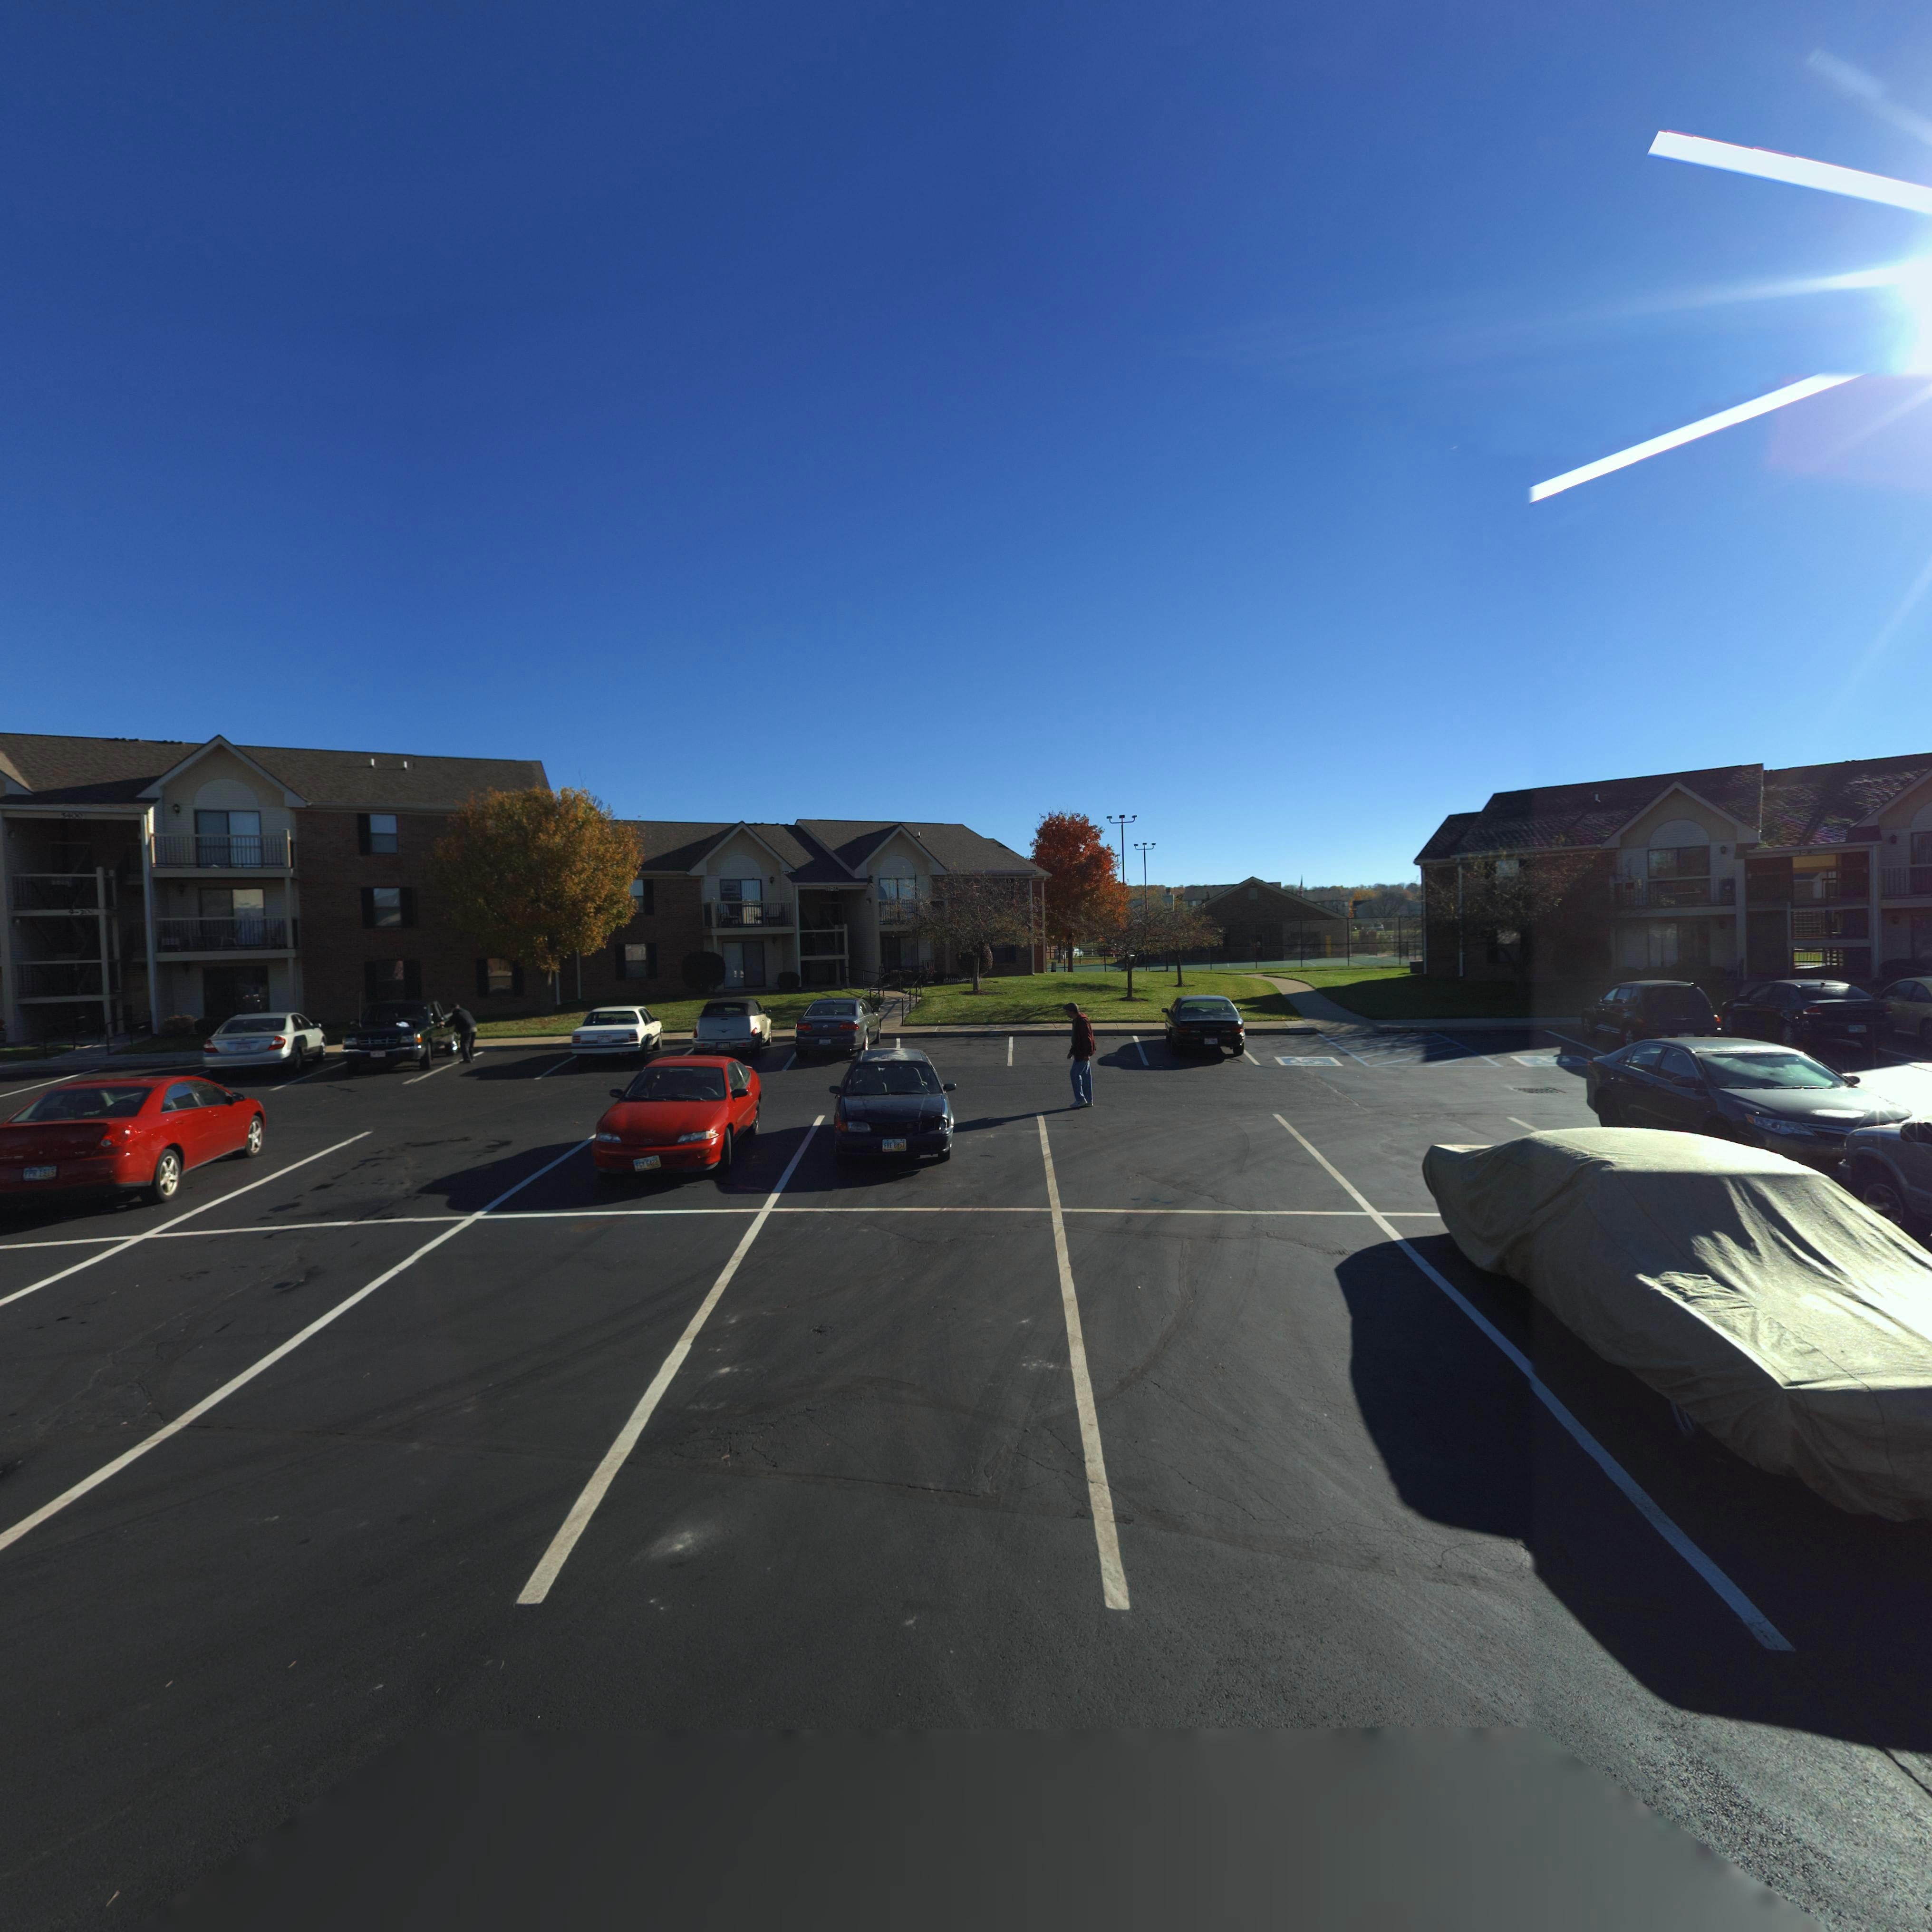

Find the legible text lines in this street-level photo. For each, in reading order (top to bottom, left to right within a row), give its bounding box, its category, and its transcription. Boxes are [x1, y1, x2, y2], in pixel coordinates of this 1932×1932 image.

[60, 811, 83, 819] StreetNumber: 5400
[826, 886, 839, 891] StreetNumber: 21-28
[68, 908, 90, 916] StreetNumber: 9-20